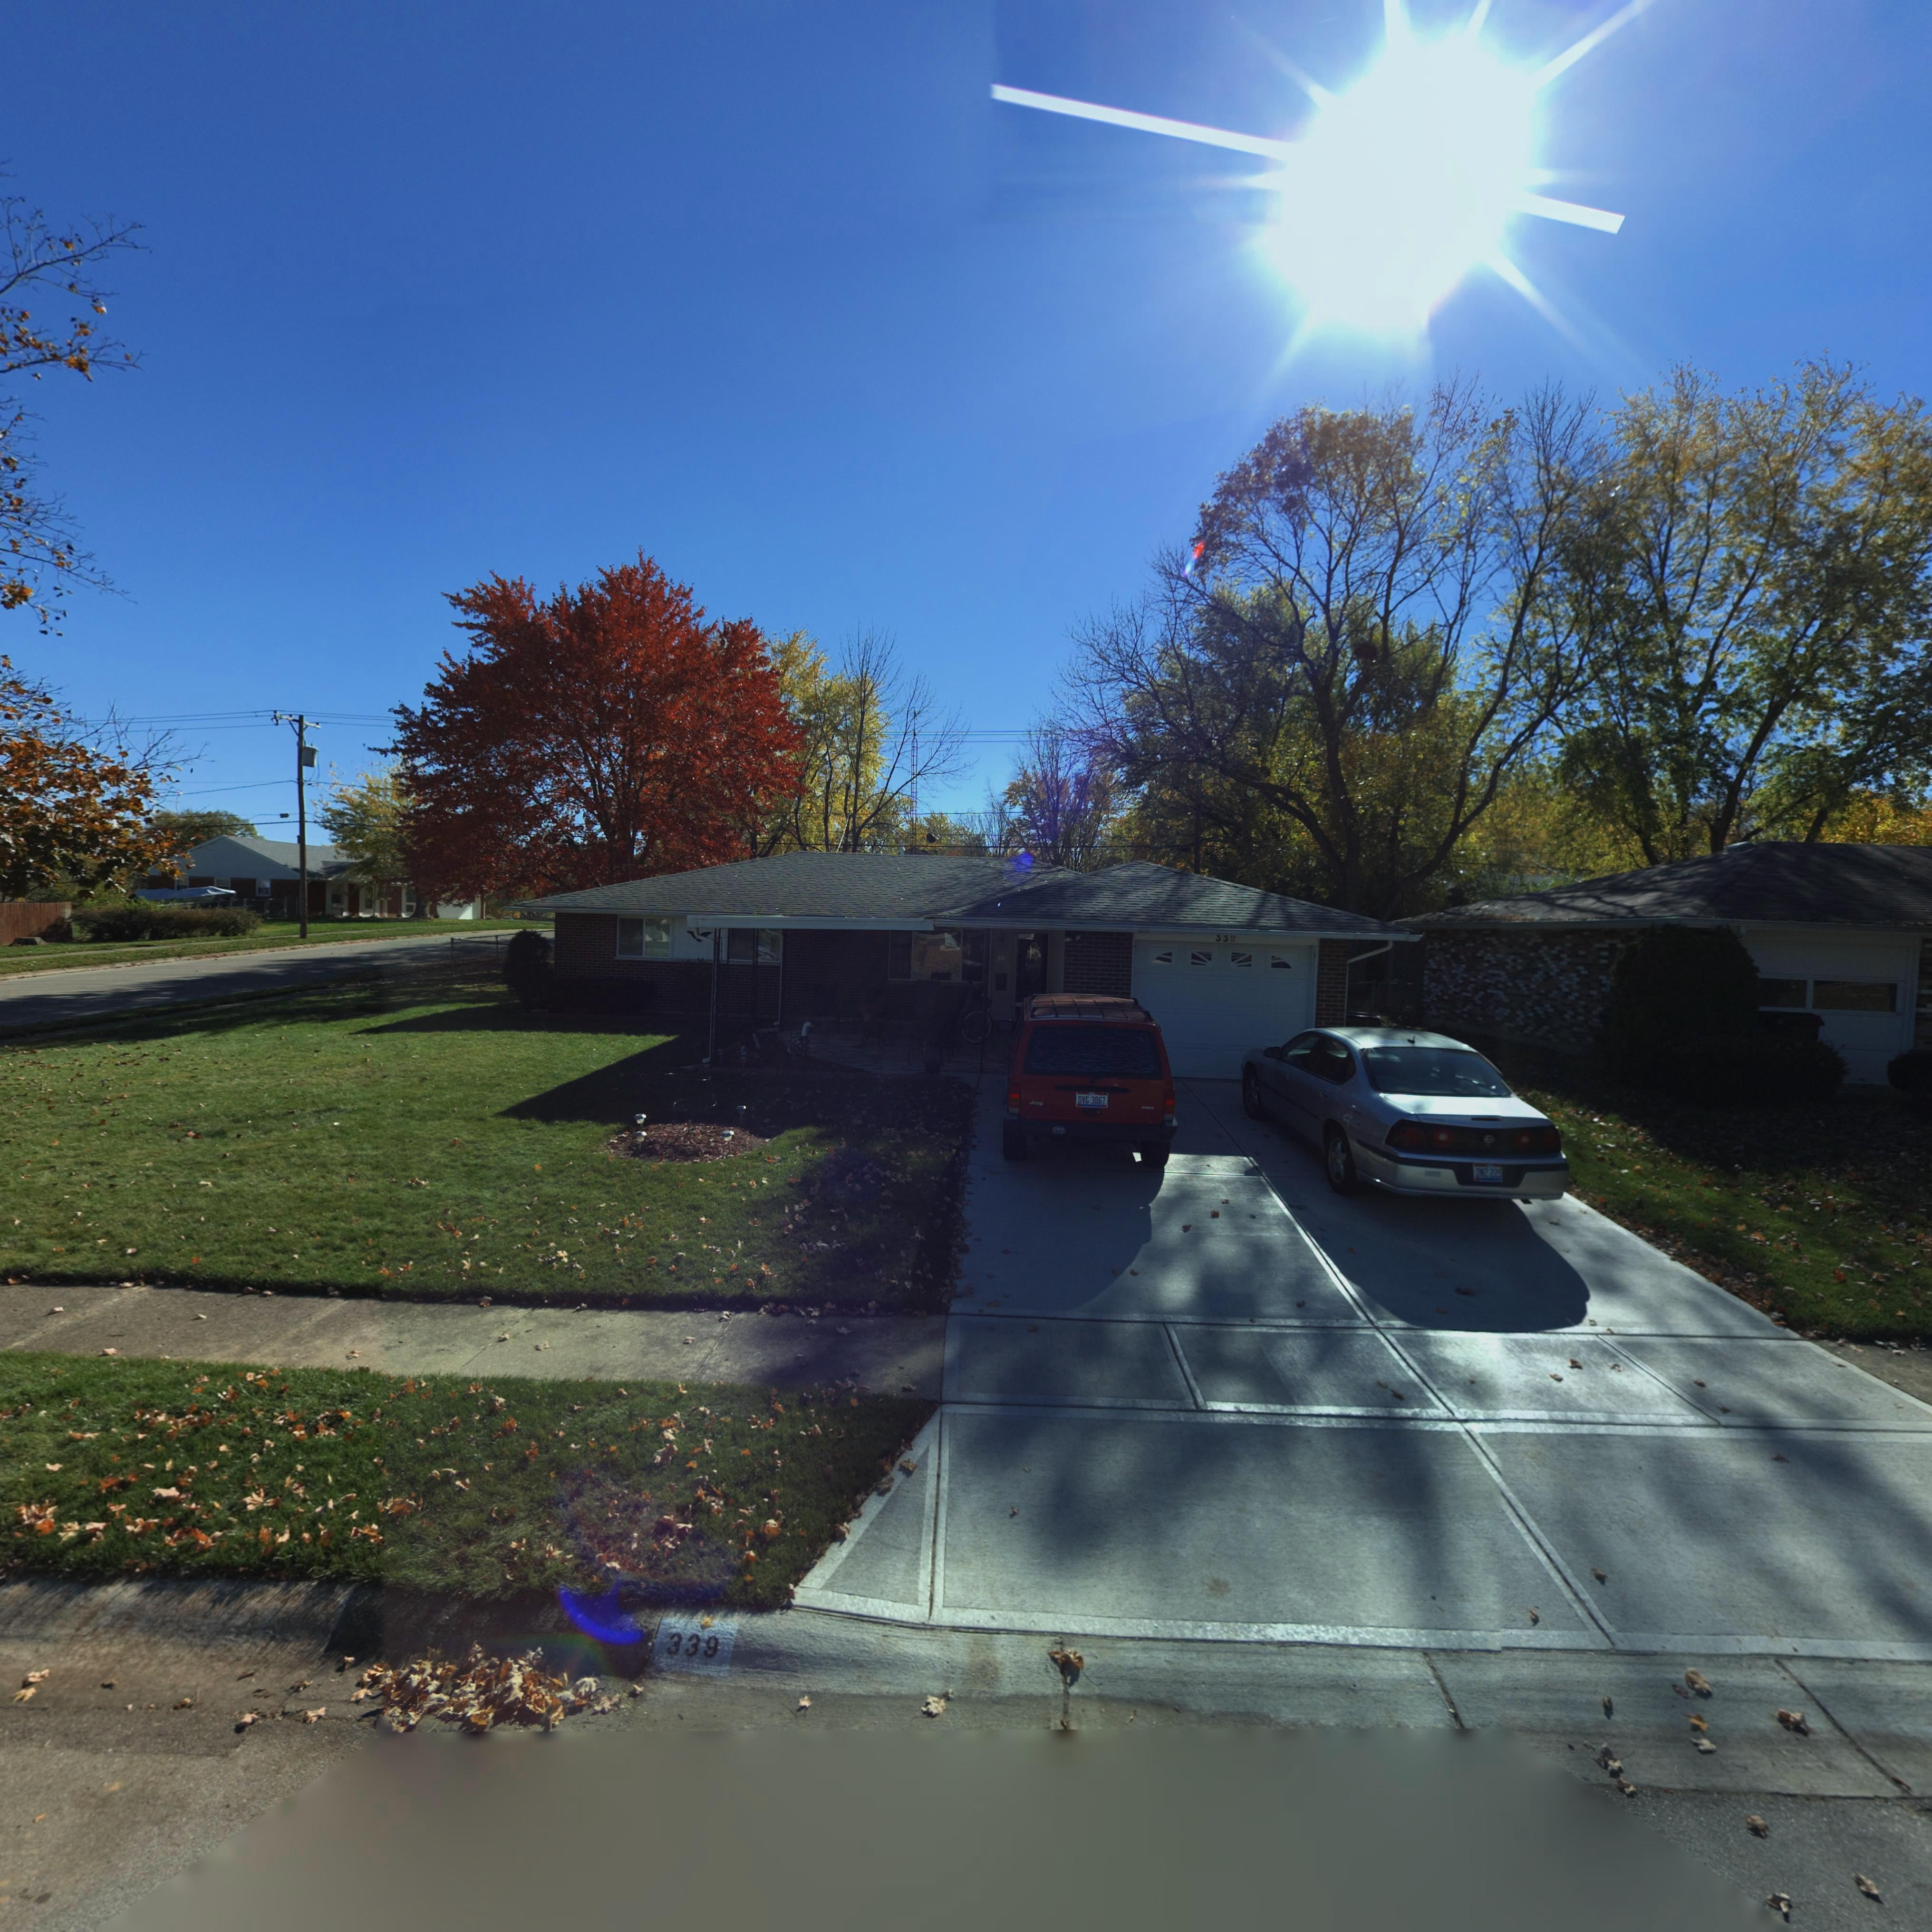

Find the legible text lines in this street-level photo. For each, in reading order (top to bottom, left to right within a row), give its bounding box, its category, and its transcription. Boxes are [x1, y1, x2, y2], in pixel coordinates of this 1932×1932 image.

[664, 1630, 721, 1661] StreetNumber: 339